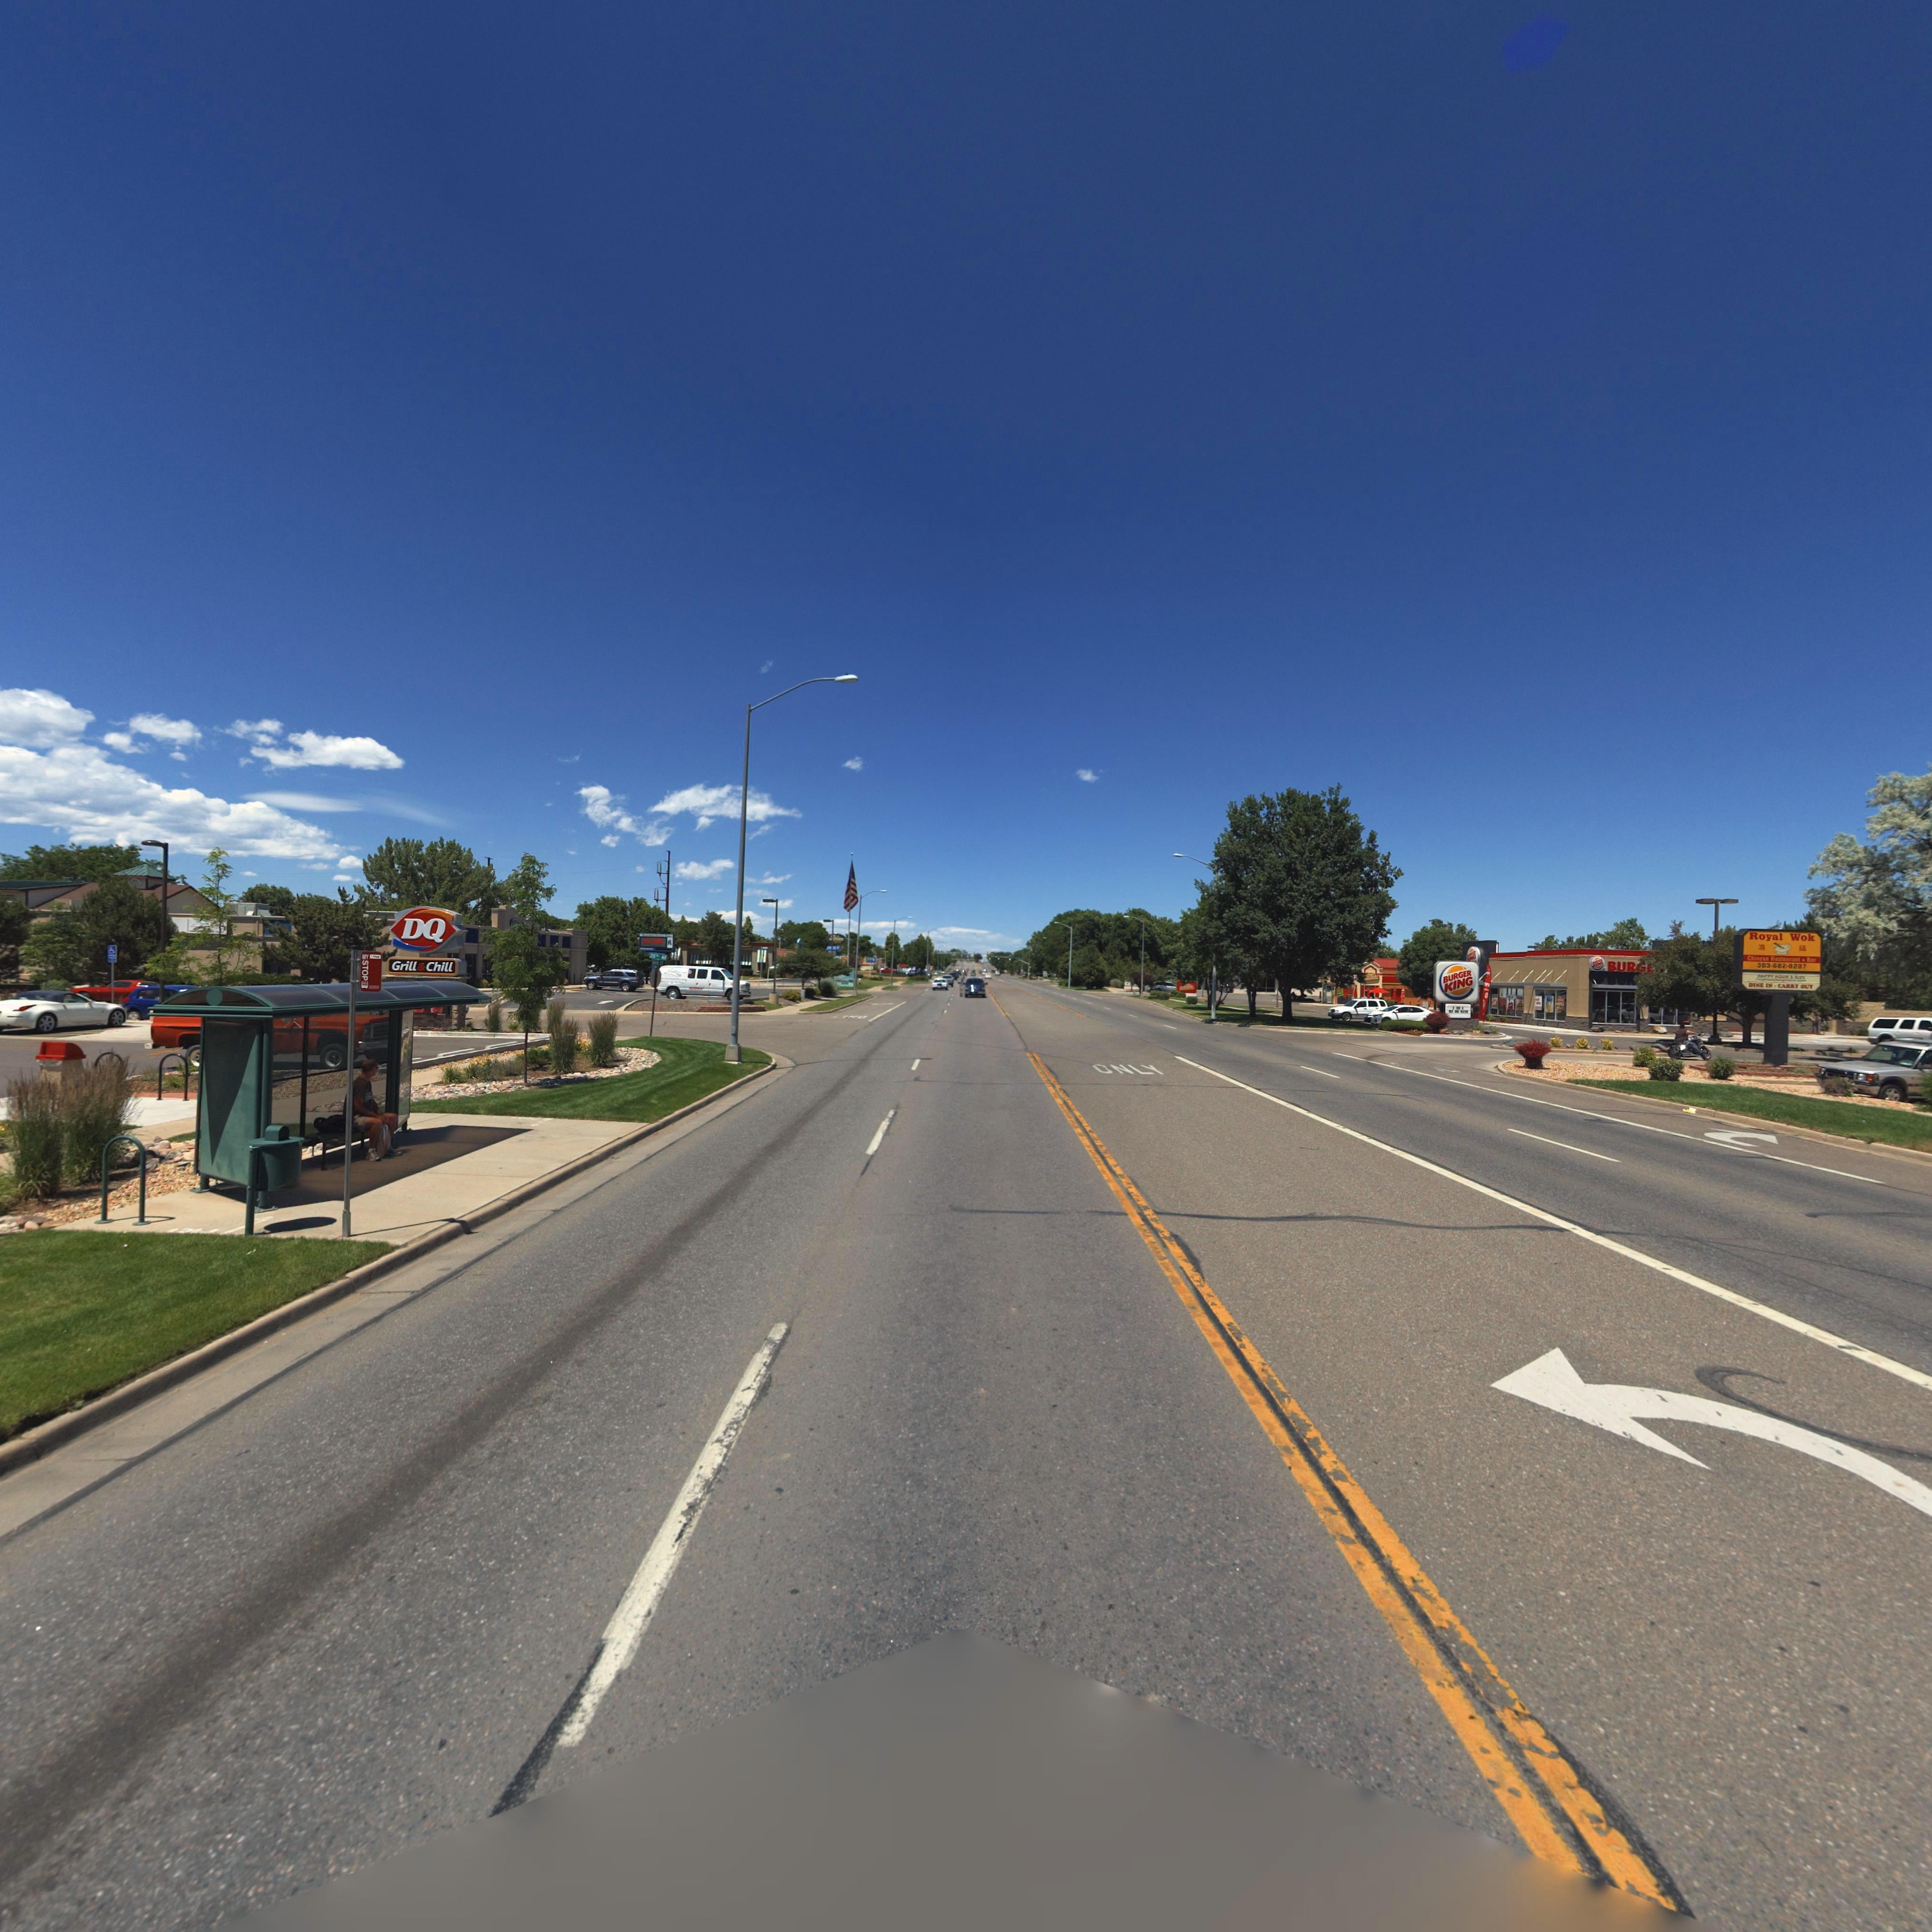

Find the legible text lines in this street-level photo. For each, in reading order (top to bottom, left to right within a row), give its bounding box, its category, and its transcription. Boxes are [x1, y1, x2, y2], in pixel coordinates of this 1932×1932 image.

[400, 918, 446, 944] BusinessName: DQ
[828, 934, 844, 941] BusinessName: P**k***
[1748, 931, 1816, 942] BusinessName: Royal Wok
[650, 953, 667, 960] StreetName: 20** AV
[1467, 950, 1476, 958] BusinessName: ***G*R
[1467, 954, 1476, 962] BusinessName: **NG
[652, 960, 664, 966] StreetName: **** S*
[1592, 960, 1604, 968] BusinessName: KING
[1607, 961, 1654, 973] BusinessName: BURG*
[1442, 970, 1472, 984] BusinessName: BURGER
[1444, 976, 1473, 994] BusinessName: KING